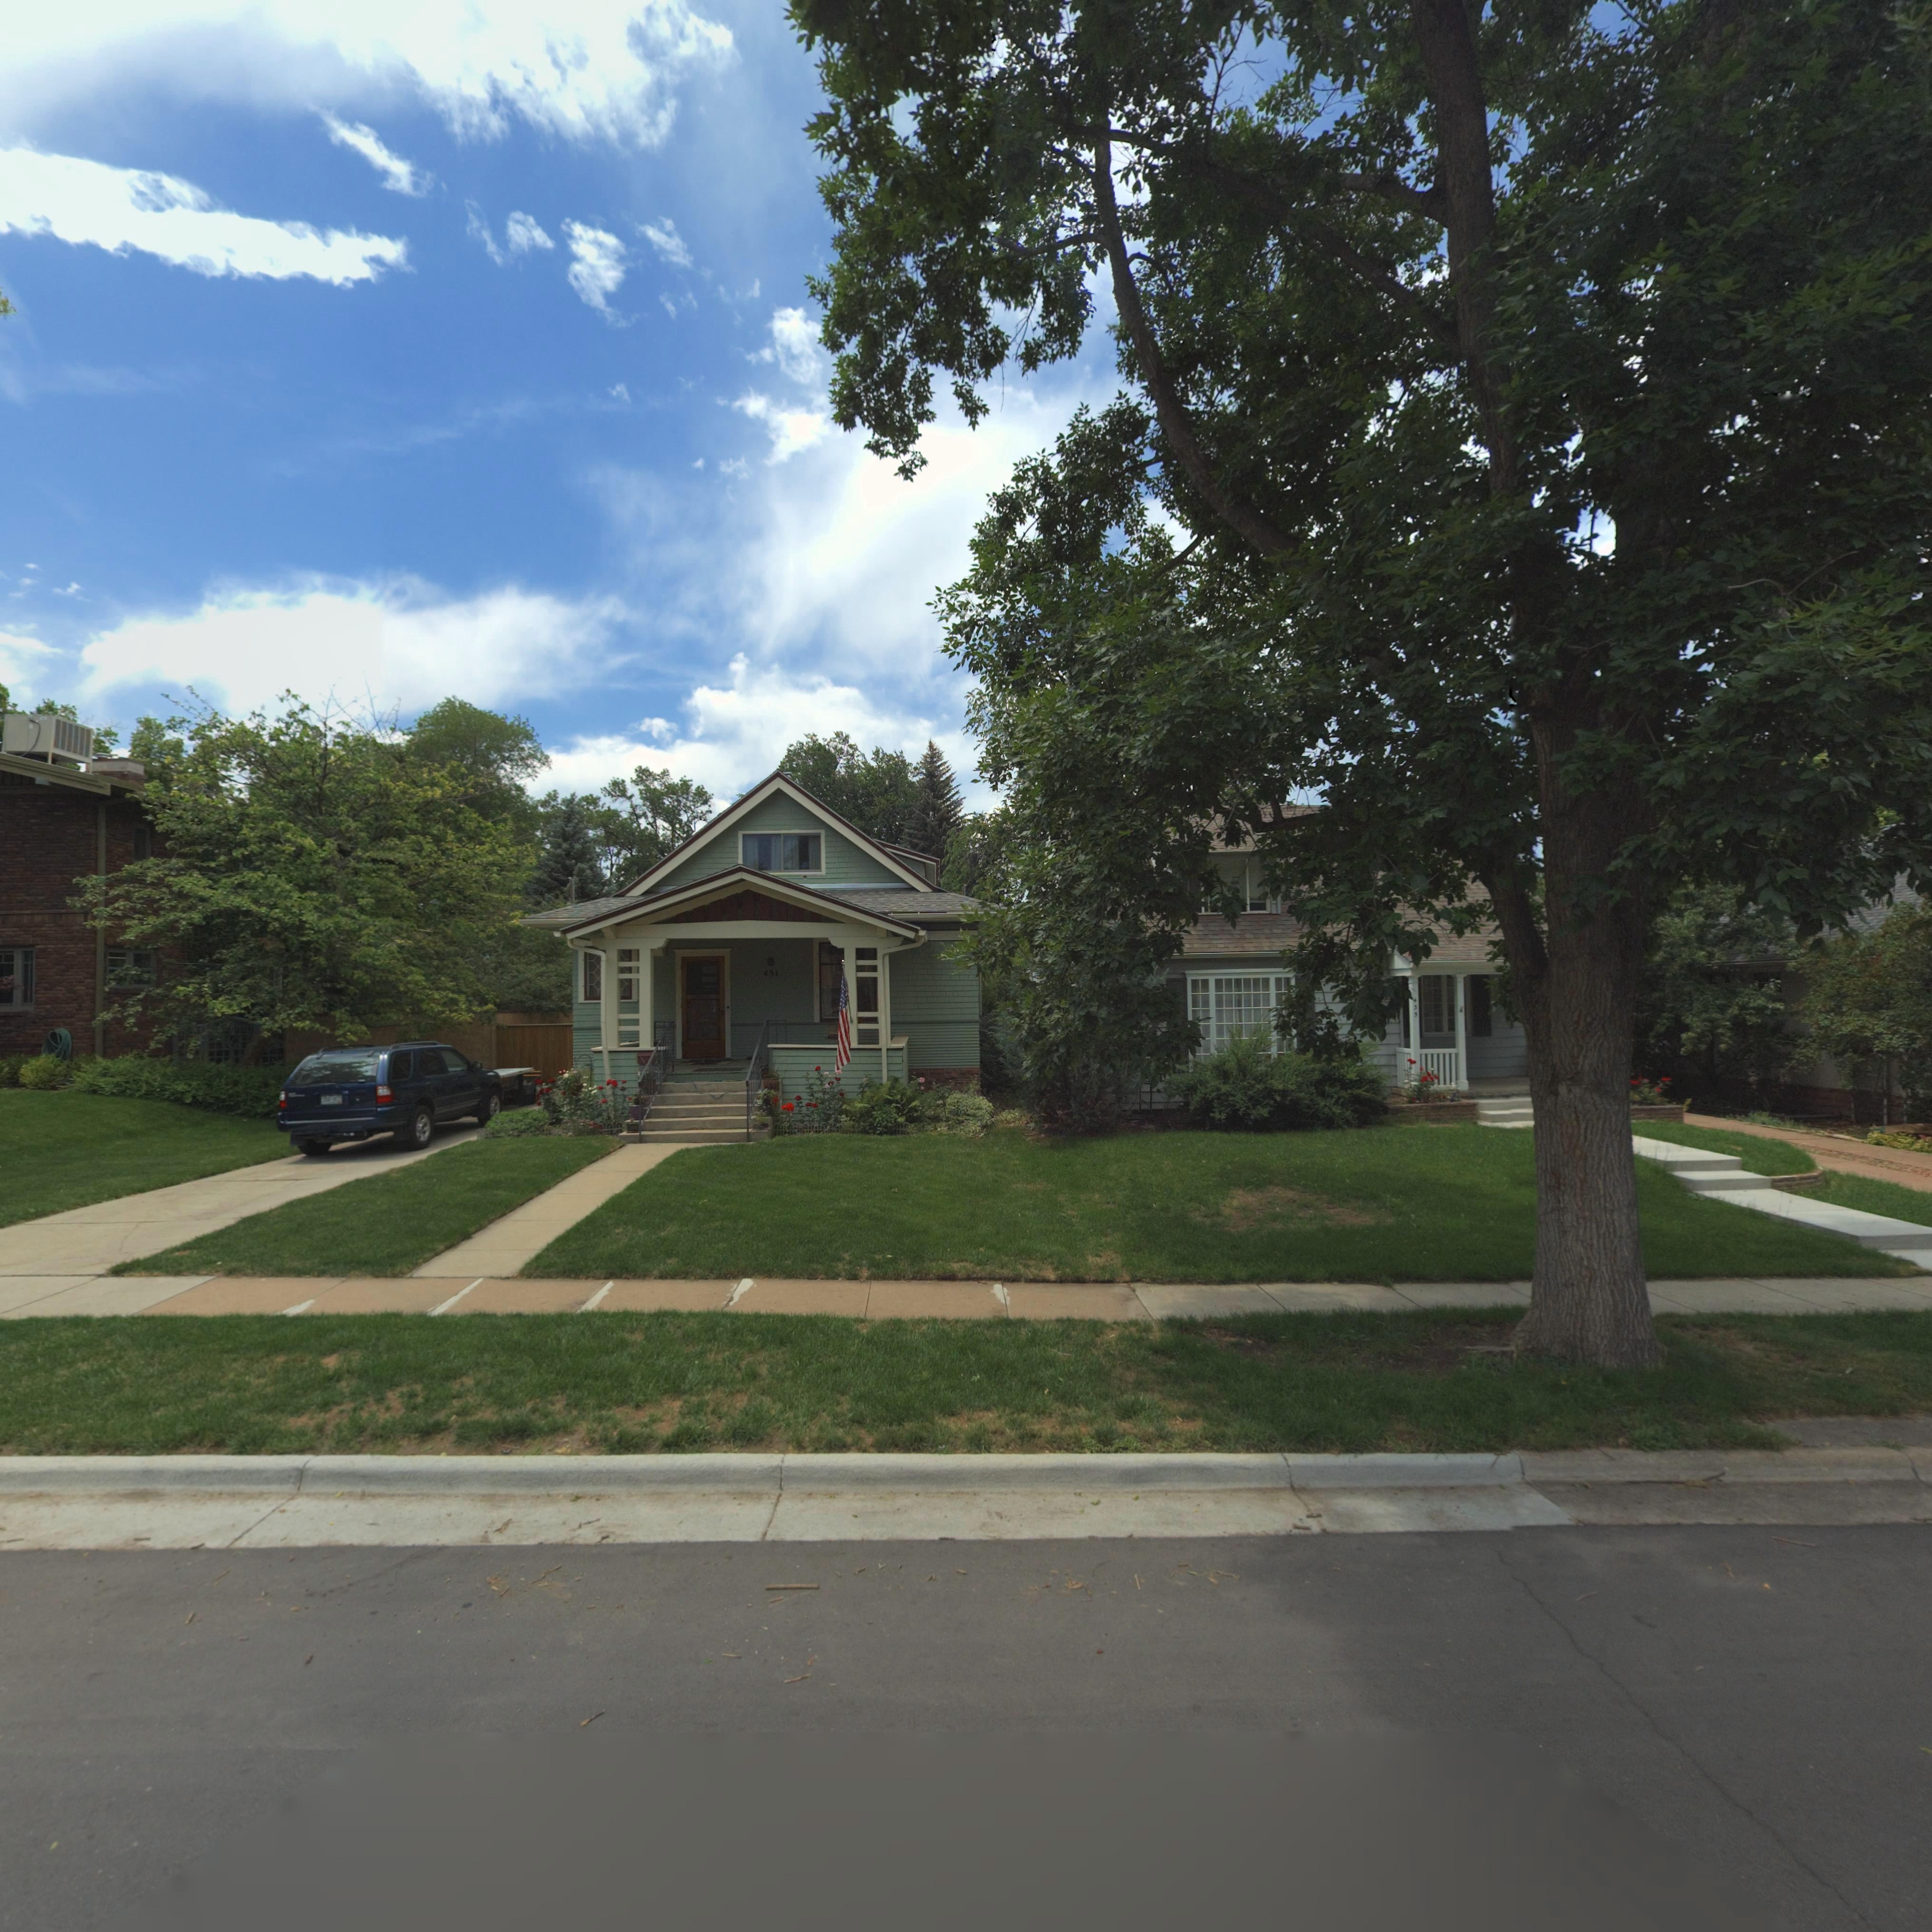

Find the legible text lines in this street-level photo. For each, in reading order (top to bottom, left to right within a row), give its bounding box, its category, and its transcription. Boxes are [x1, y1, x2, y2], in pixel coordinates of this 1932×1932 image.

[762, 969, 778, 977] StreetNumber: 431
[1412, 997, 1418, 1018] StreetNumber: 435